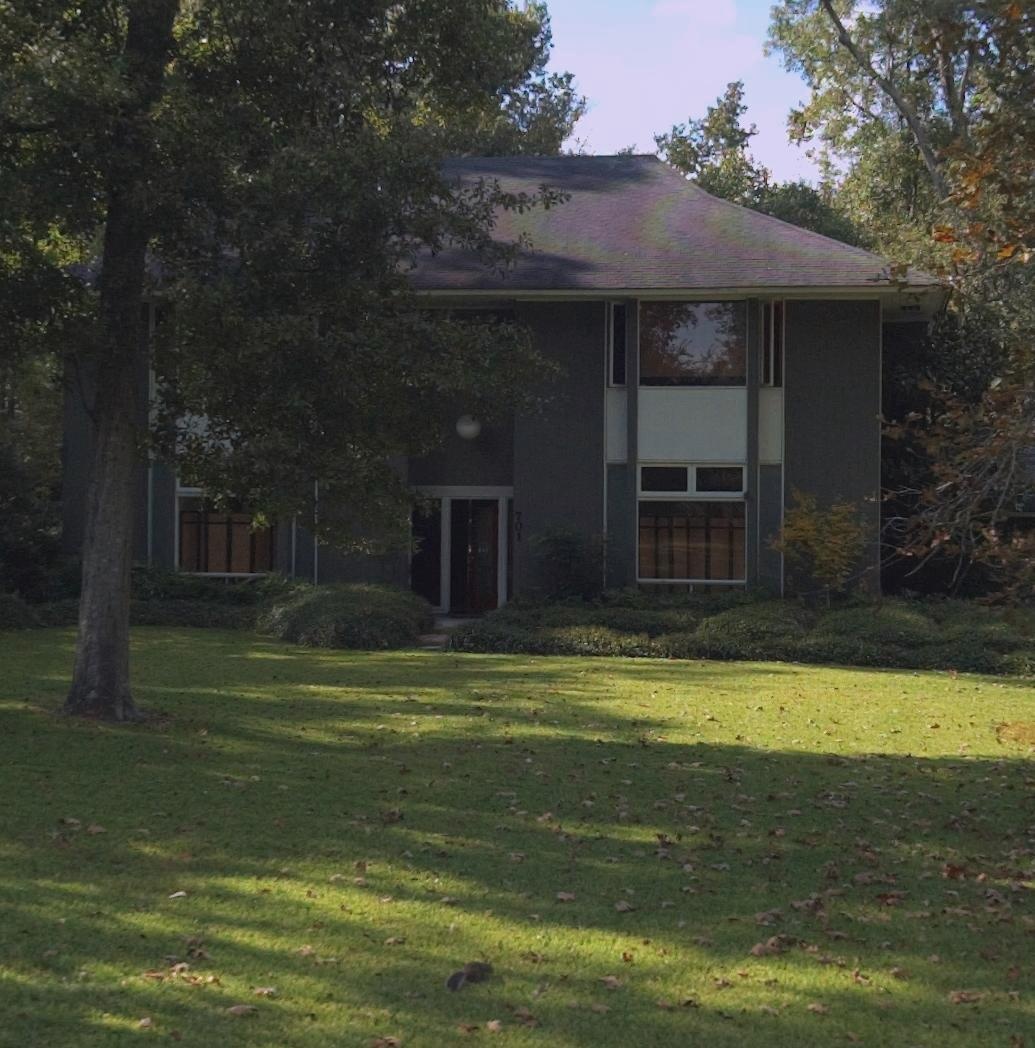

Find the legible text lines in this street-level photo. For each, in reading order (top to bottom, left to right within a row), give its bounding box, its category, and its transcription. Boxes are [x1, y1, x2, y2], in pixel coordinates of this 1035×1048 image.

[514, 511, 523, 542] StreetNumber: 701